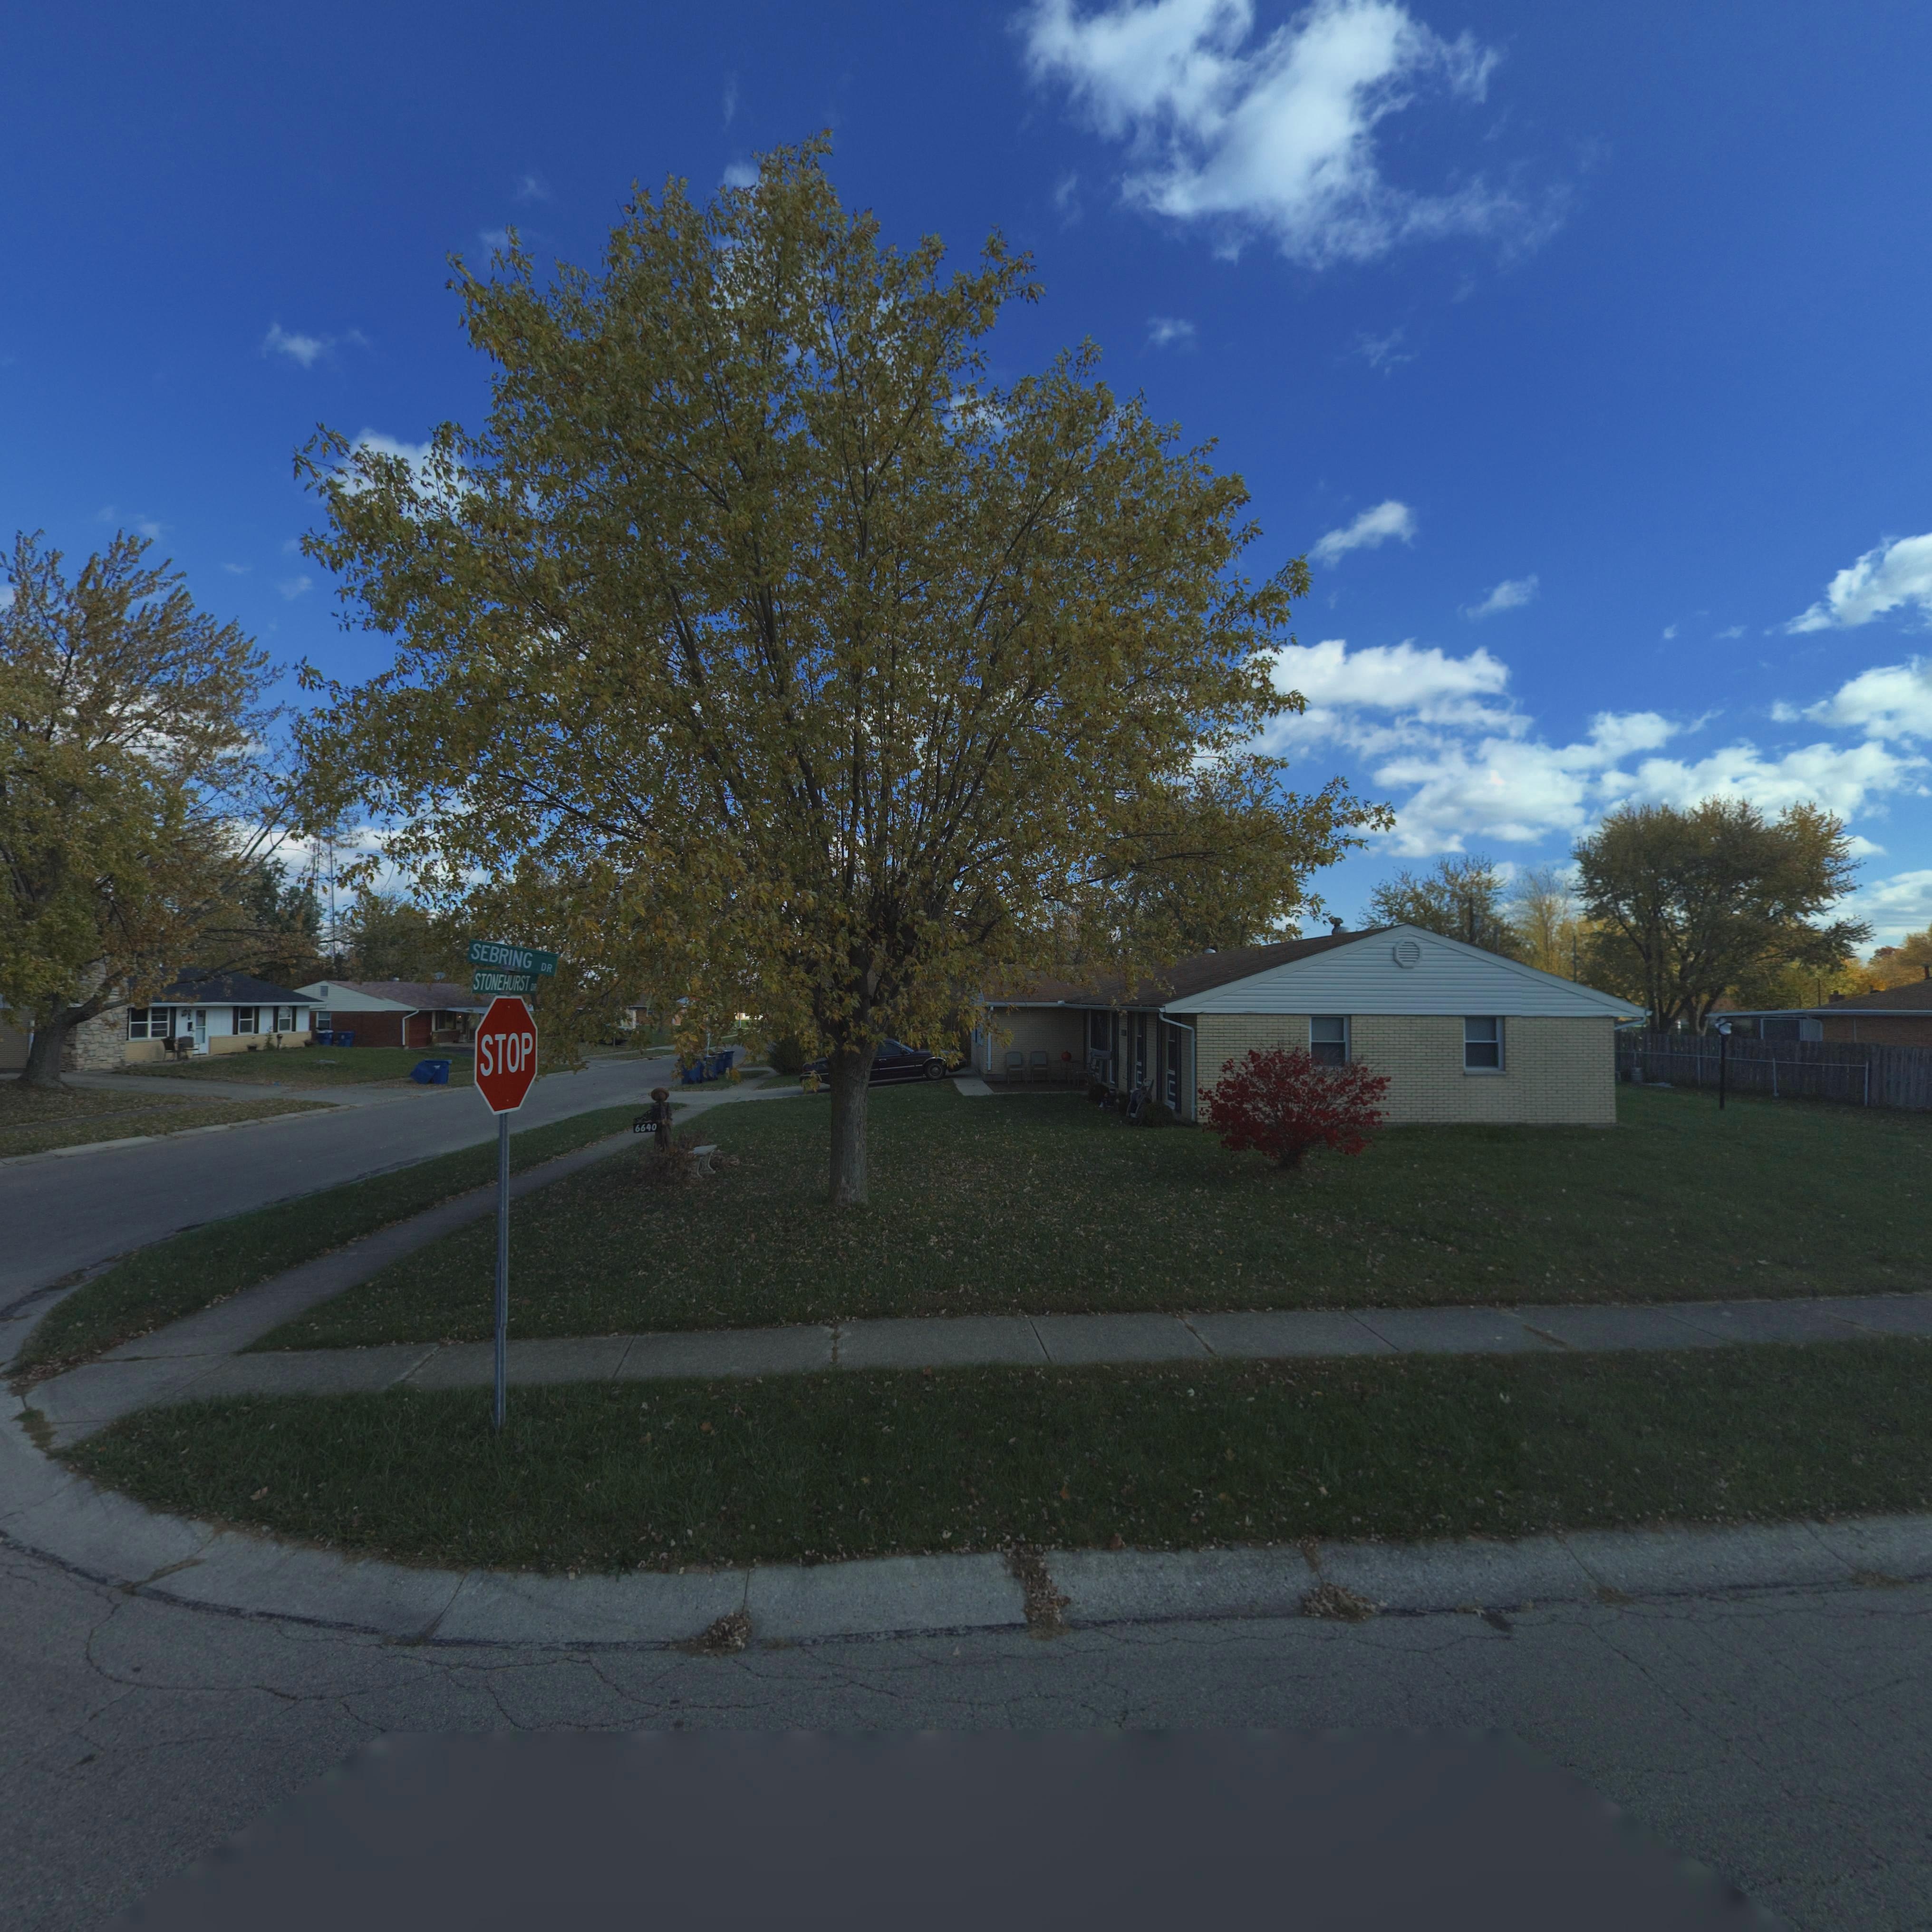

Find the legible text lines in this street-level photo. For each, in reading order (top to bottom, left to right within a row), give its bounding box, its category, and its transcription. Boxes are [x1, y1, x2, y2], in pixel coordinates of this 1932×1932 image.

[469, 942, 553, 975] StreetName: SEBRING DR
[472, 972, 538, 993] StreetName: STONEHURST DR
[634, 1123, 657, 1133] StreetNumber: 6640